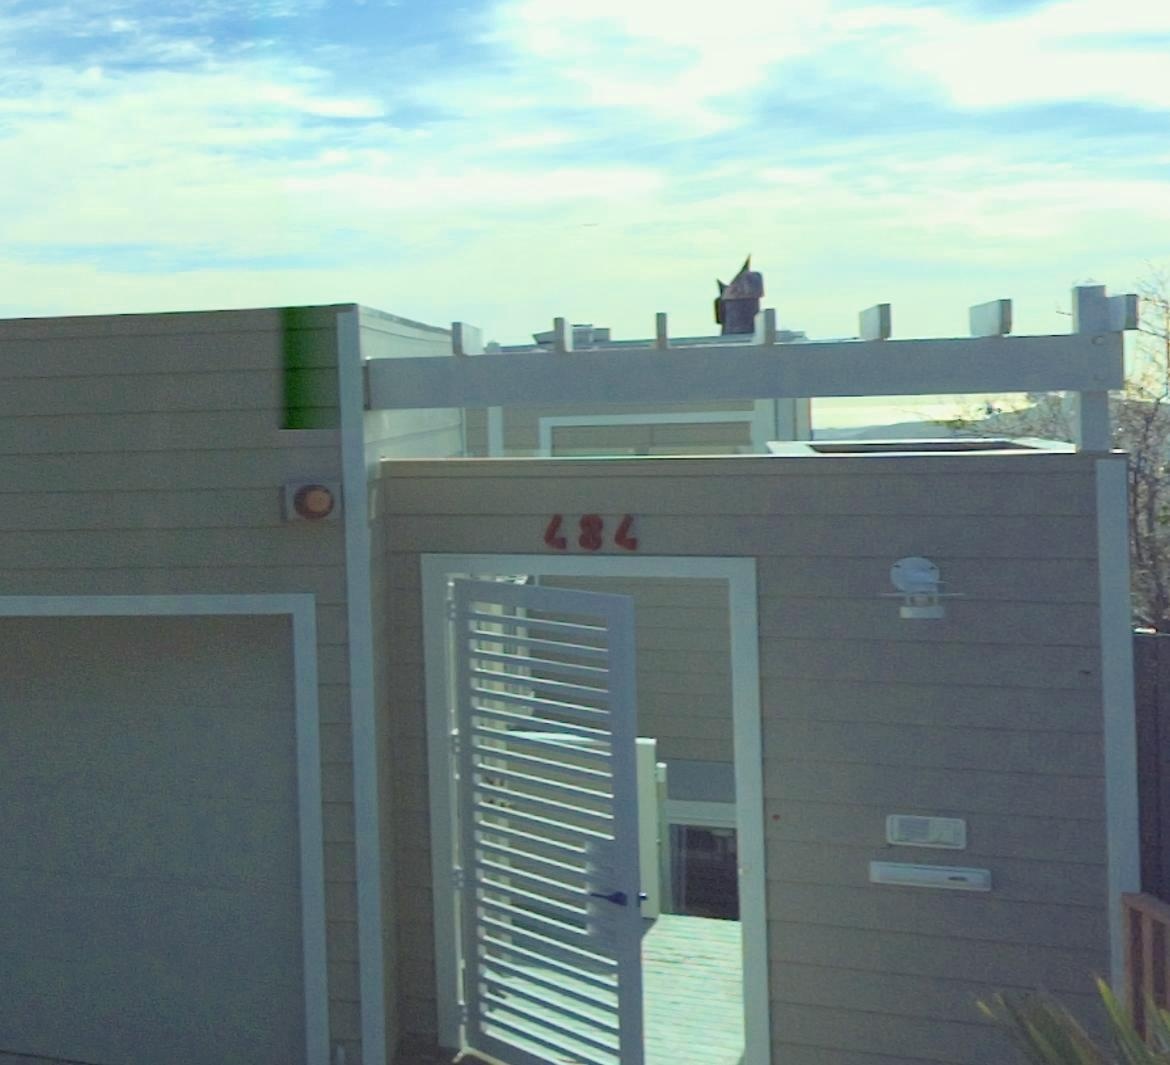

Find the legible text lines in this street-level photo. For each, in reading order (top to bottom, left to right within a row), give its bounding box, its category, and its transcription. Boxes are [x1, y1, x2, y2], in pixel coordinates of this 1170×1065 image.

[541, 513, 640, 551] StreetNumber: 484